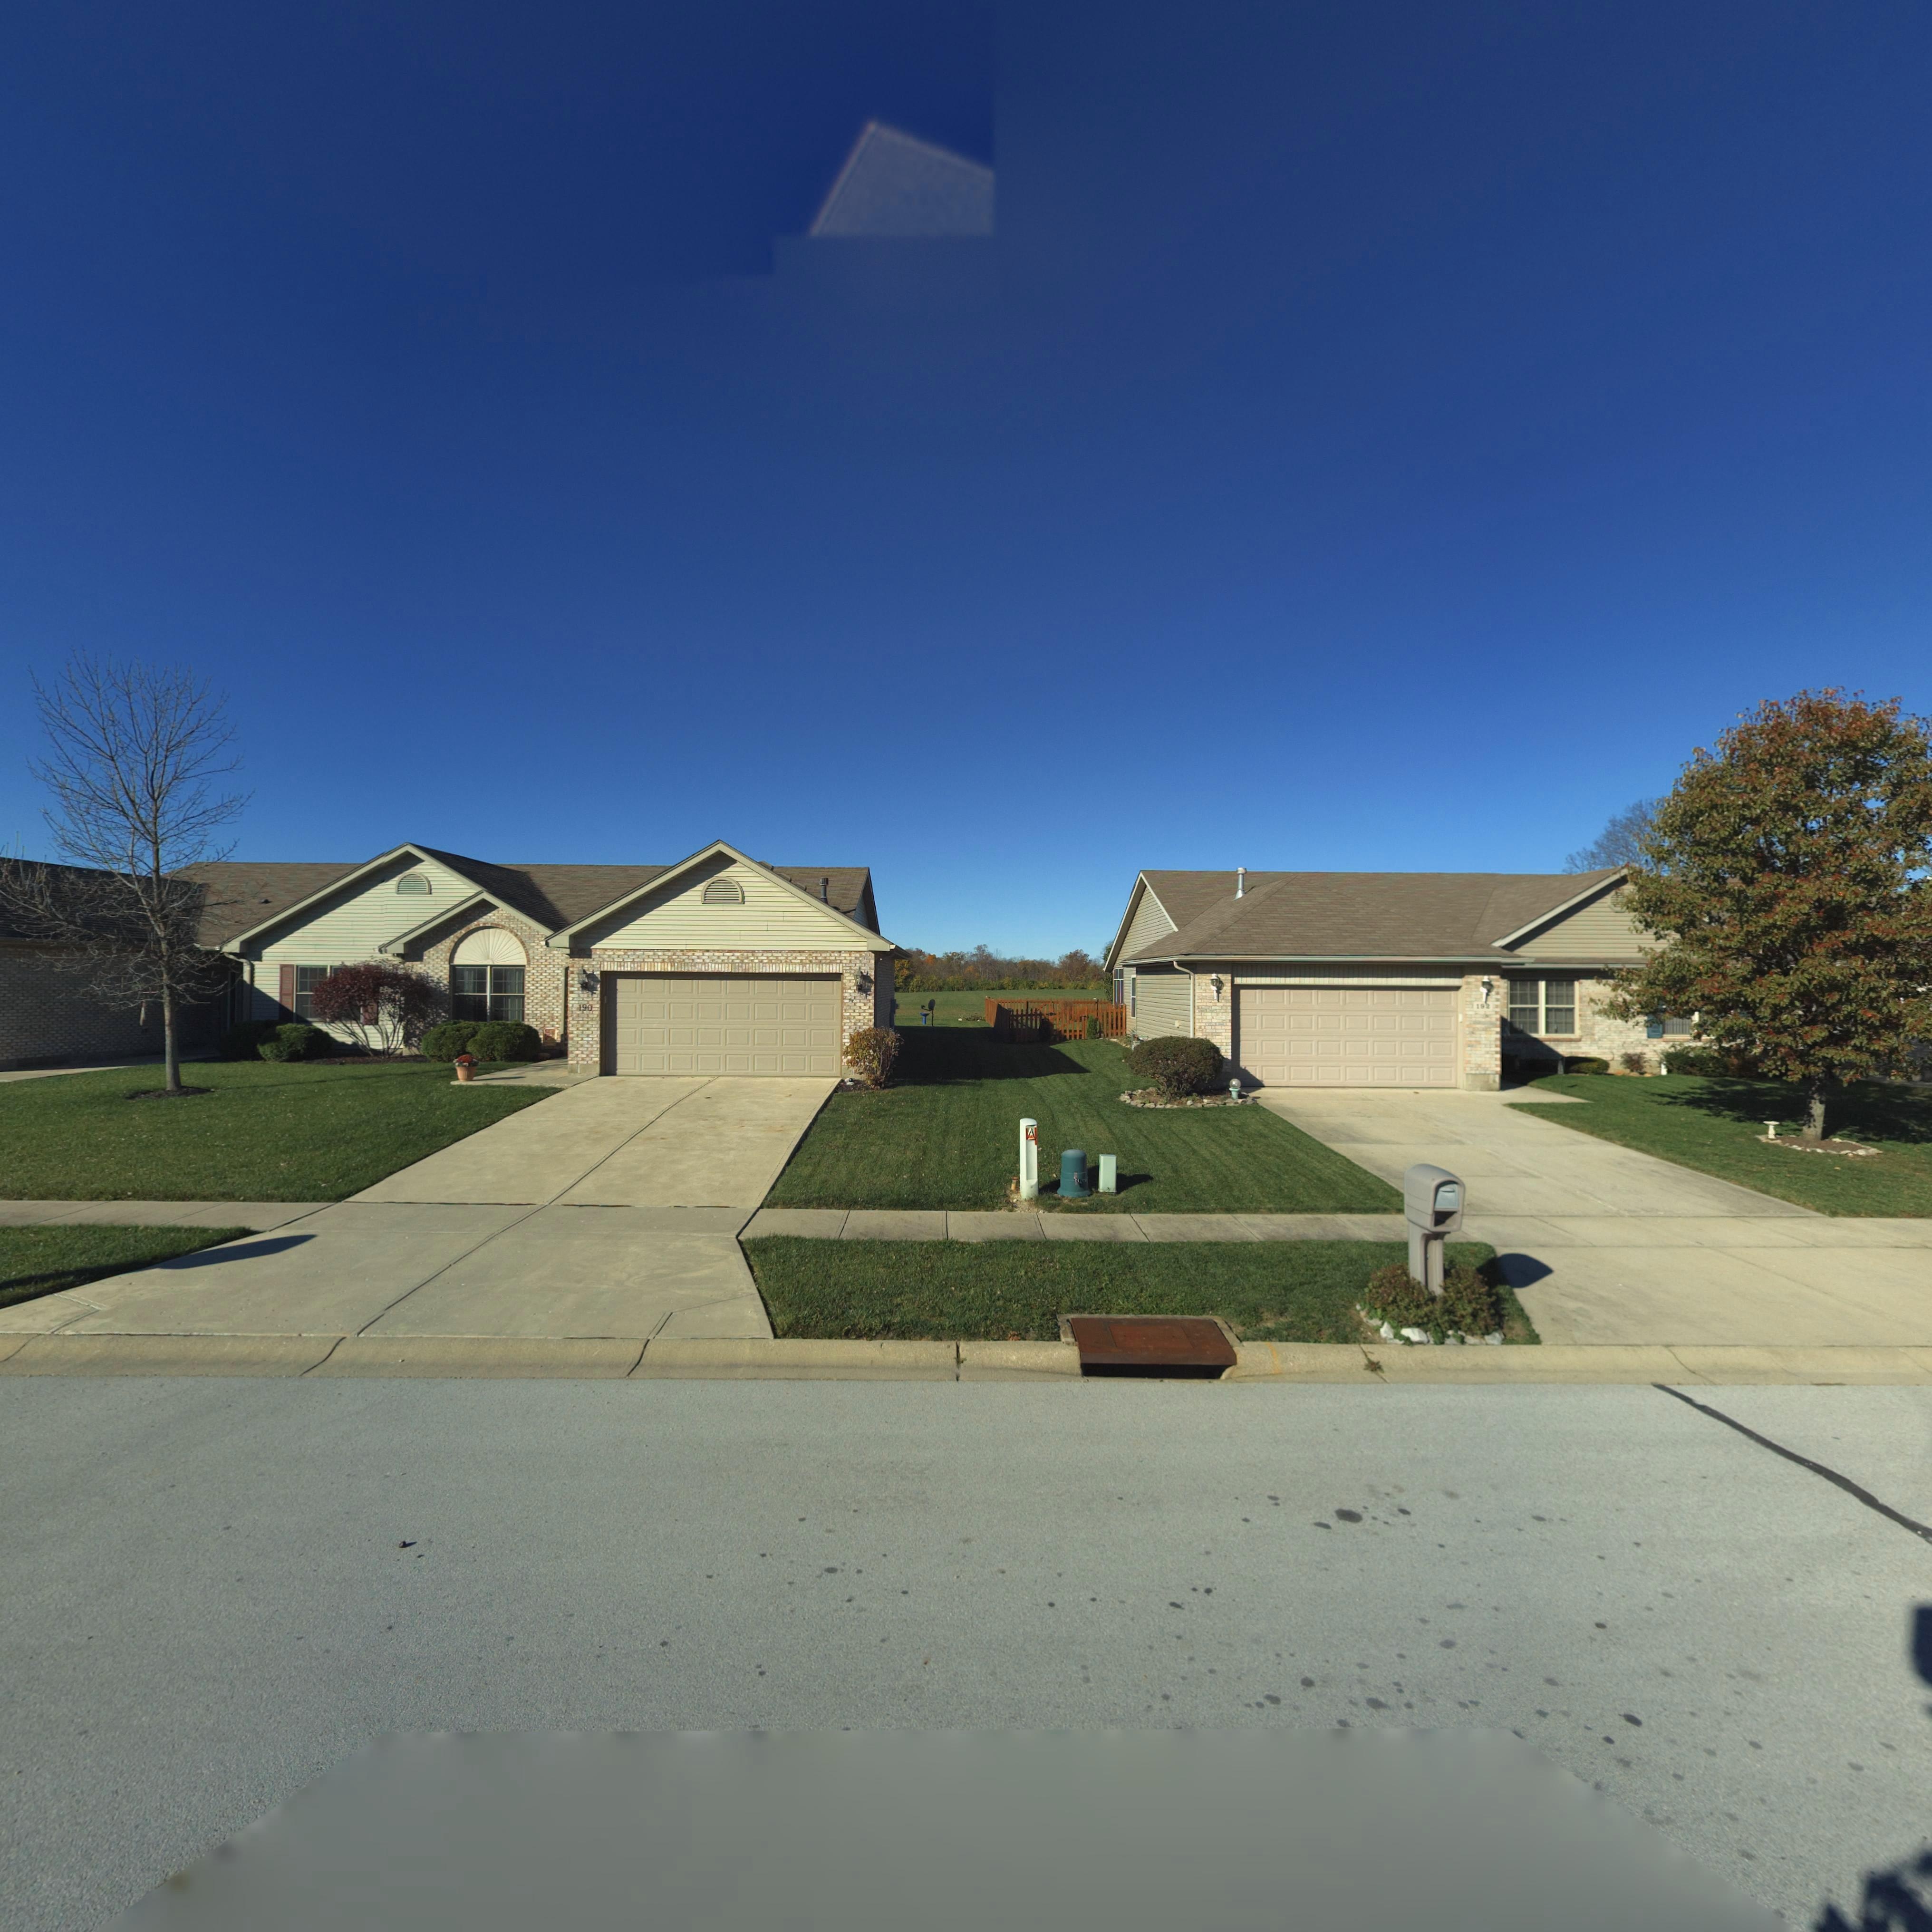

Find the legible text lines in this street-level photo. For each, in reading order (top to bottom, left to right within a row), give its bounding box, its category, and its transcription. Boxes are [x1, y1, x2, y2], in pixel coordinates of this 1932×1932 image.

[578, 1003, 593, 1012] StreetNumber: 190
[1476, 1003, 1491, 1010] StreetNumber: 192